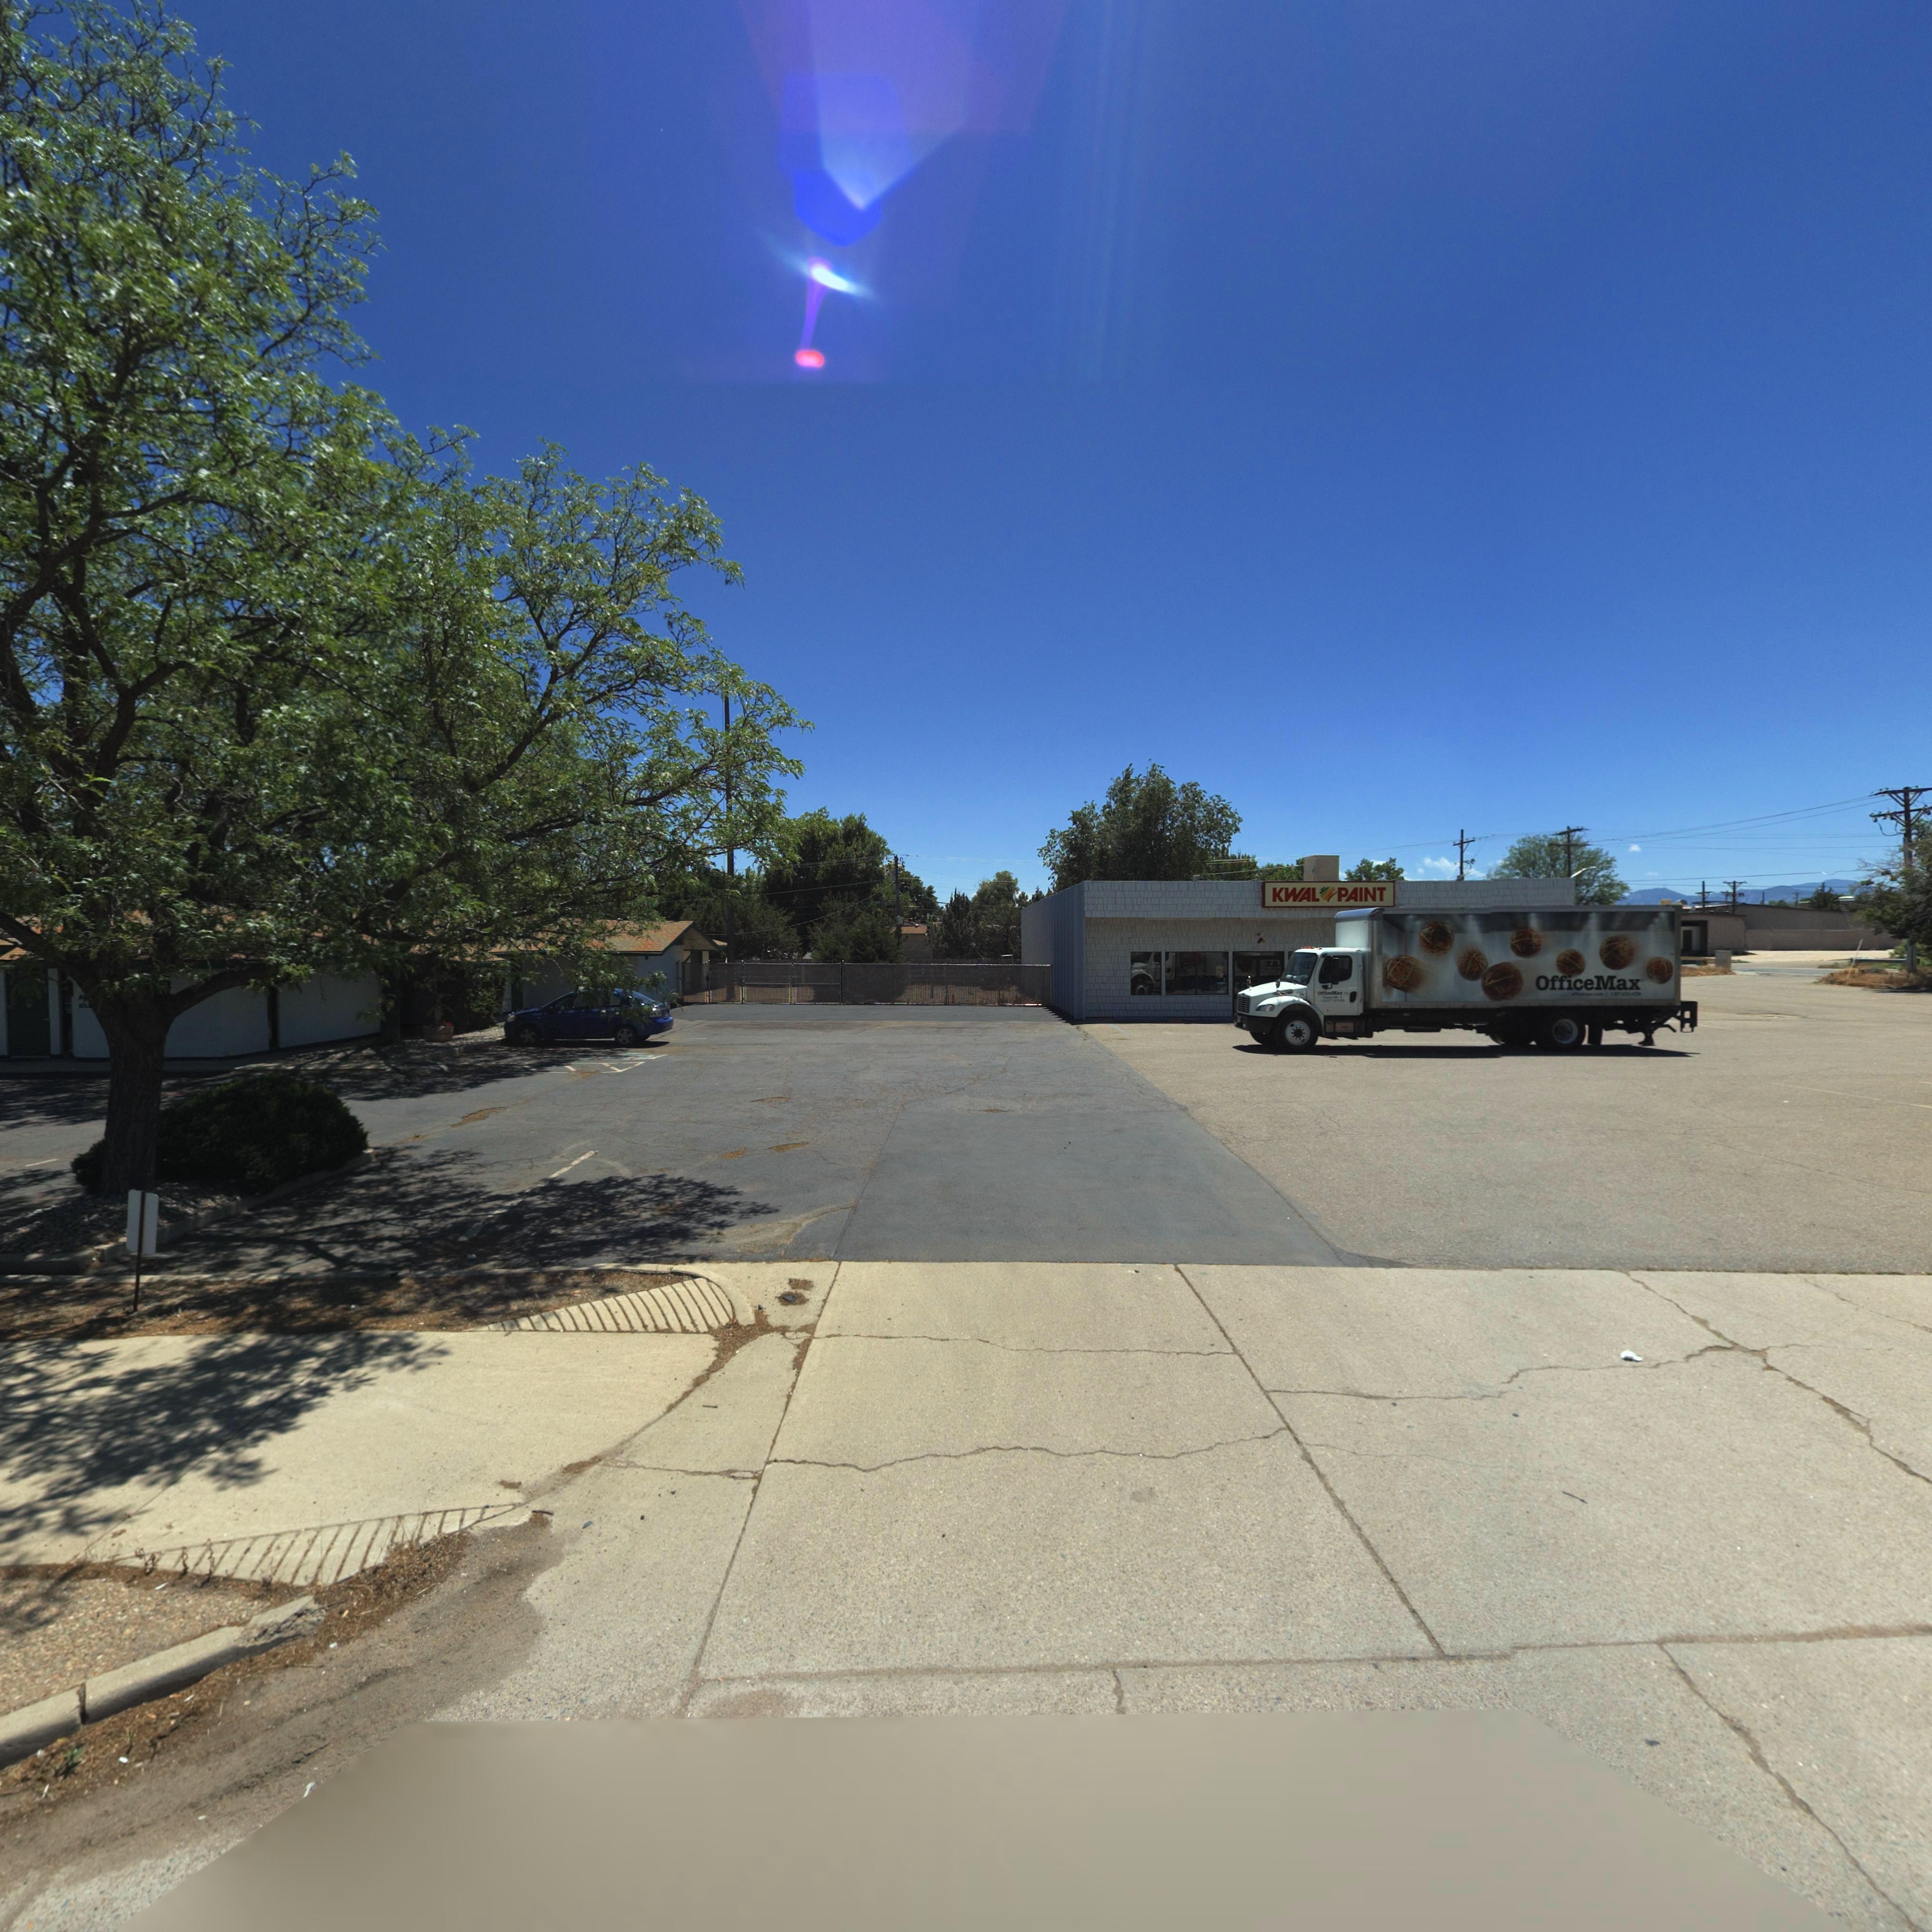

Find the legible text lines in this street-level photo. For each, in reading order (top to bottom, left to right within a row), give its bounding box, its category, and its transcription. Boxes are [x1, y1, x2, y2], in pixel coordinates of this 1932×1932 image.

[1272, 886, 1386, 902] BusinessName: KWAL PAINT